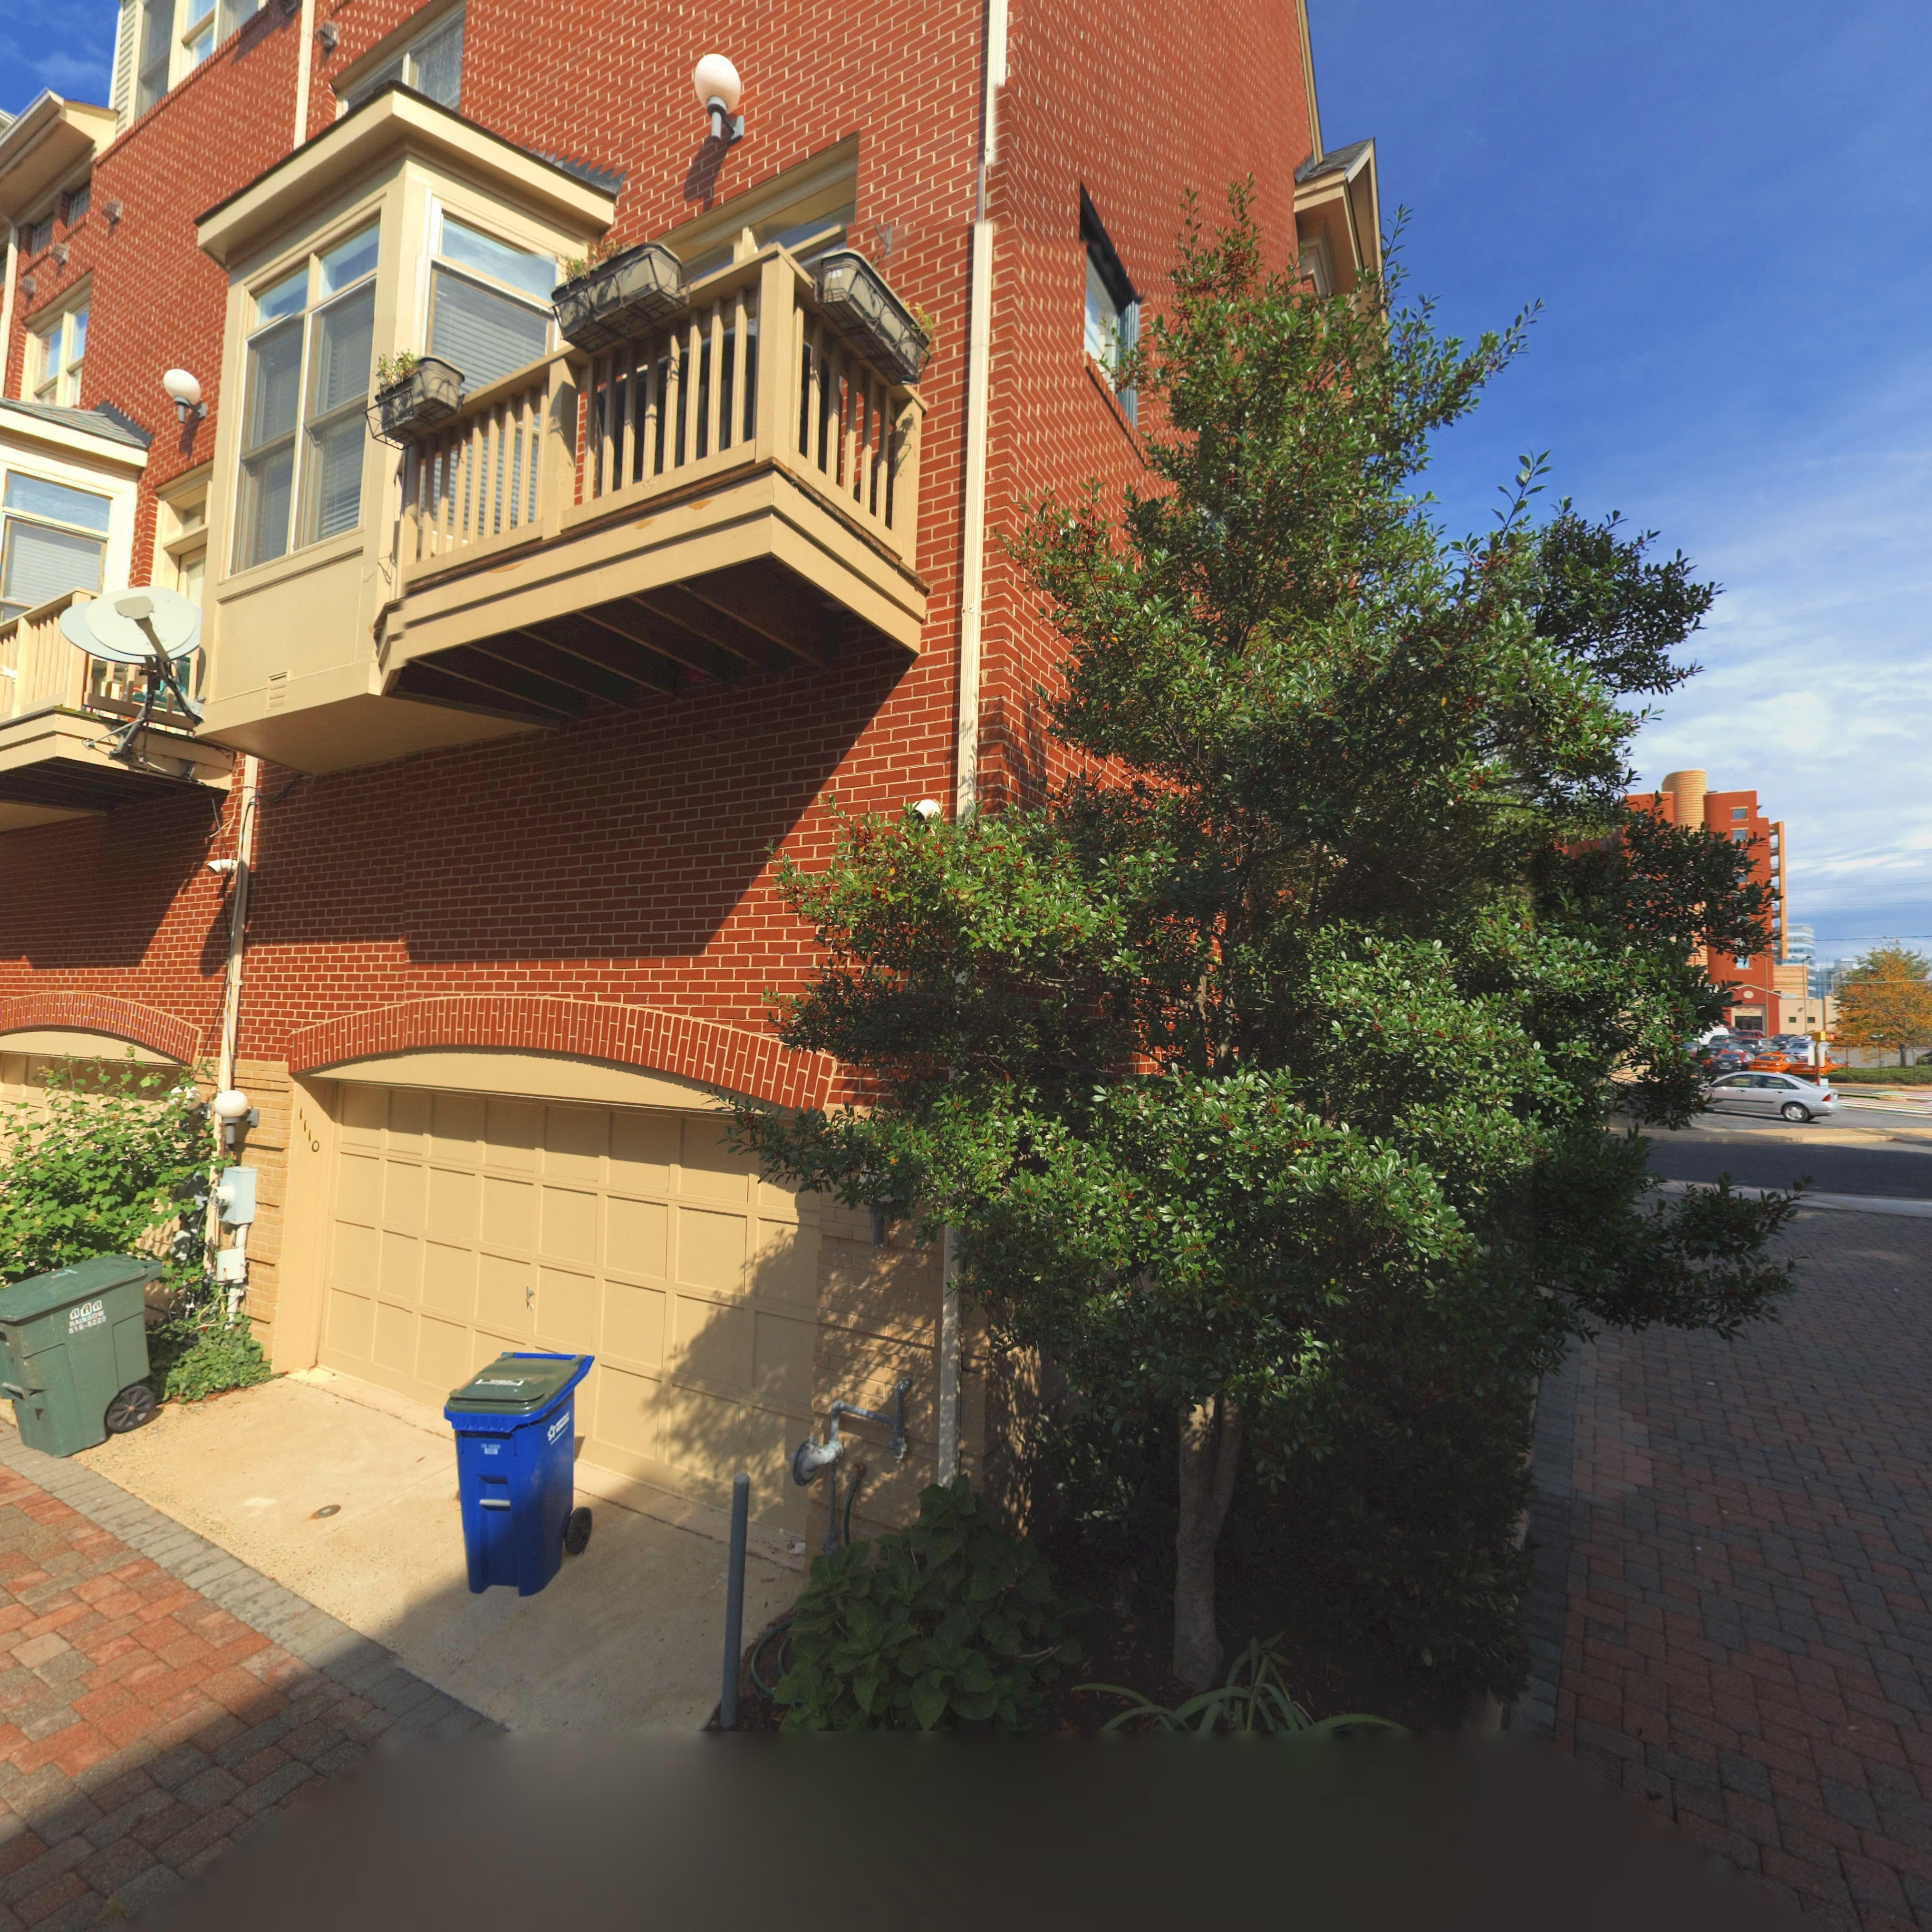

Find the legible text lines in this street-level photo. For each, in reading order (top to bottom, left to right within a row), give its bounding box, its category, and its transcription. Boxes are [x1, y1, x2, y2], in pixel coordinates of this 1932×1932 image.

[298, 1107, 319, 1153] None: 1110
[71, 1301, 101, 1318] None: AAA
[68, 1308, 105, 1328] None: RAINBOW
[68, 1314, 107, 1335] None: 818-8222